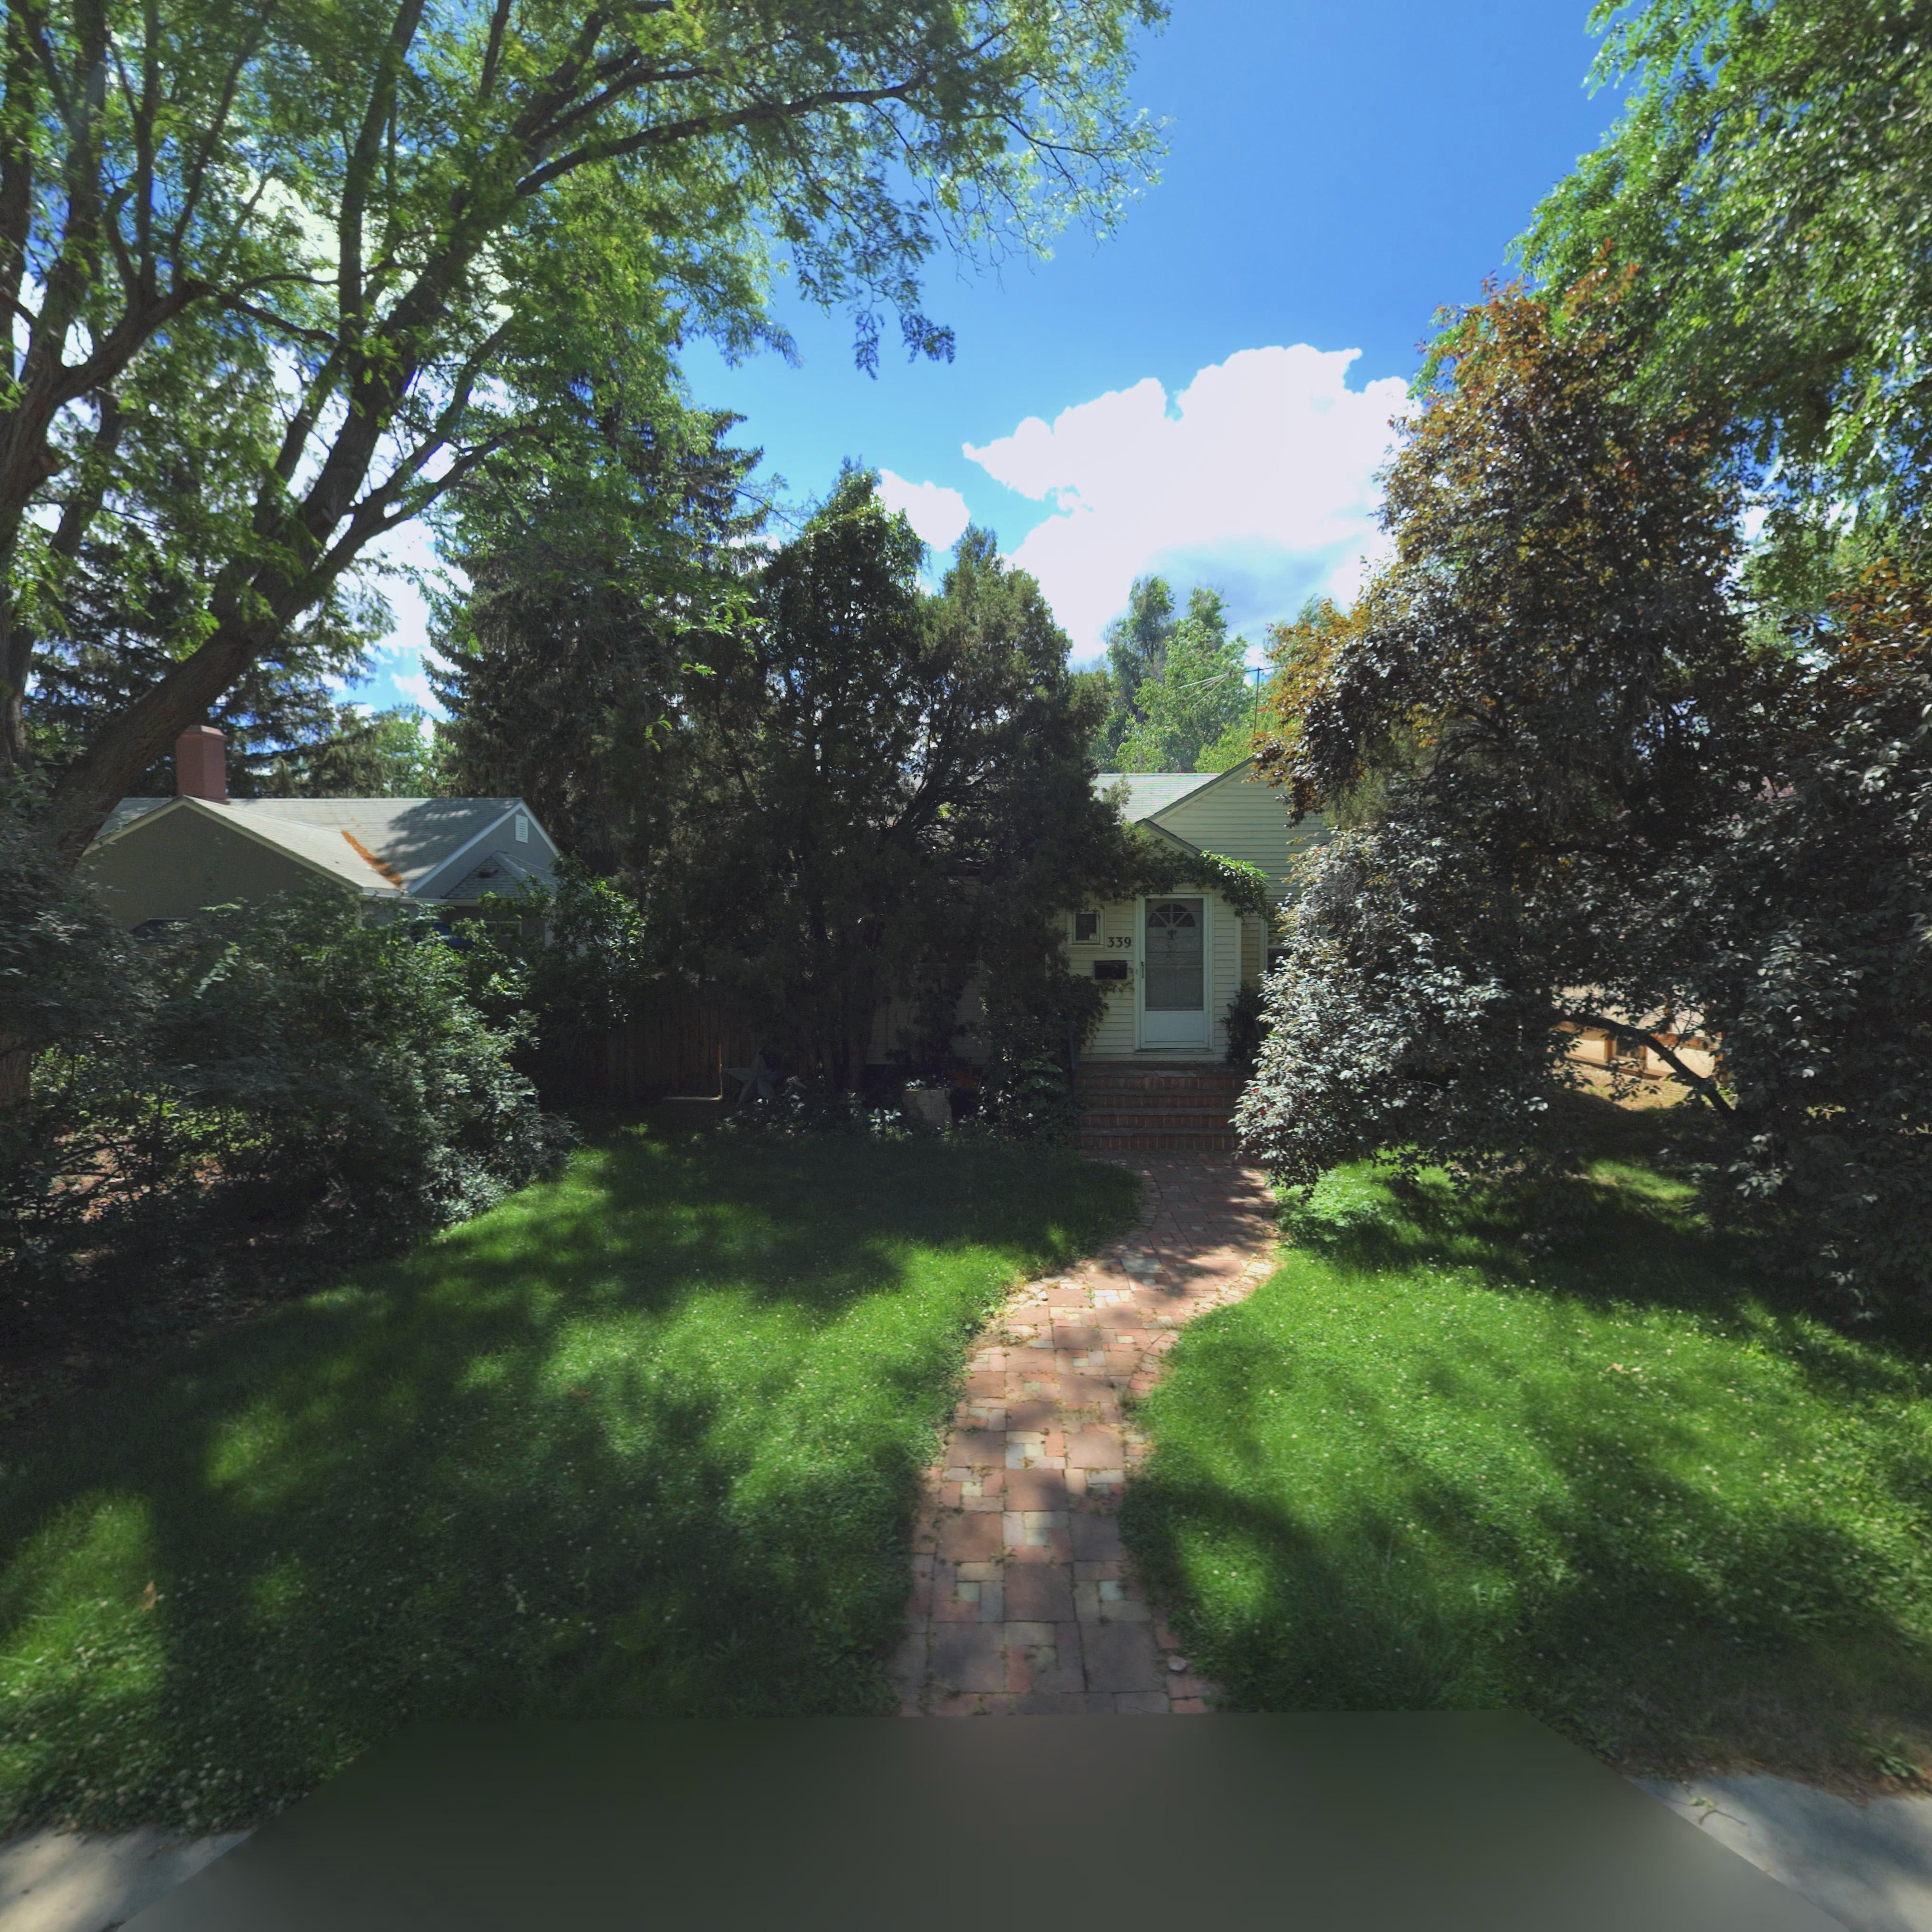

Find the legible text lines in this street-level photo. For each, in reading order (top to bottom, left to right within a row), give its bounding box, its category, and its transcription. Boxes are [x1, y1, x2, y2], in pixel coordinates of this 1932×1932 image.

[1106, 937, 1131, 948] StreetNumber: 339